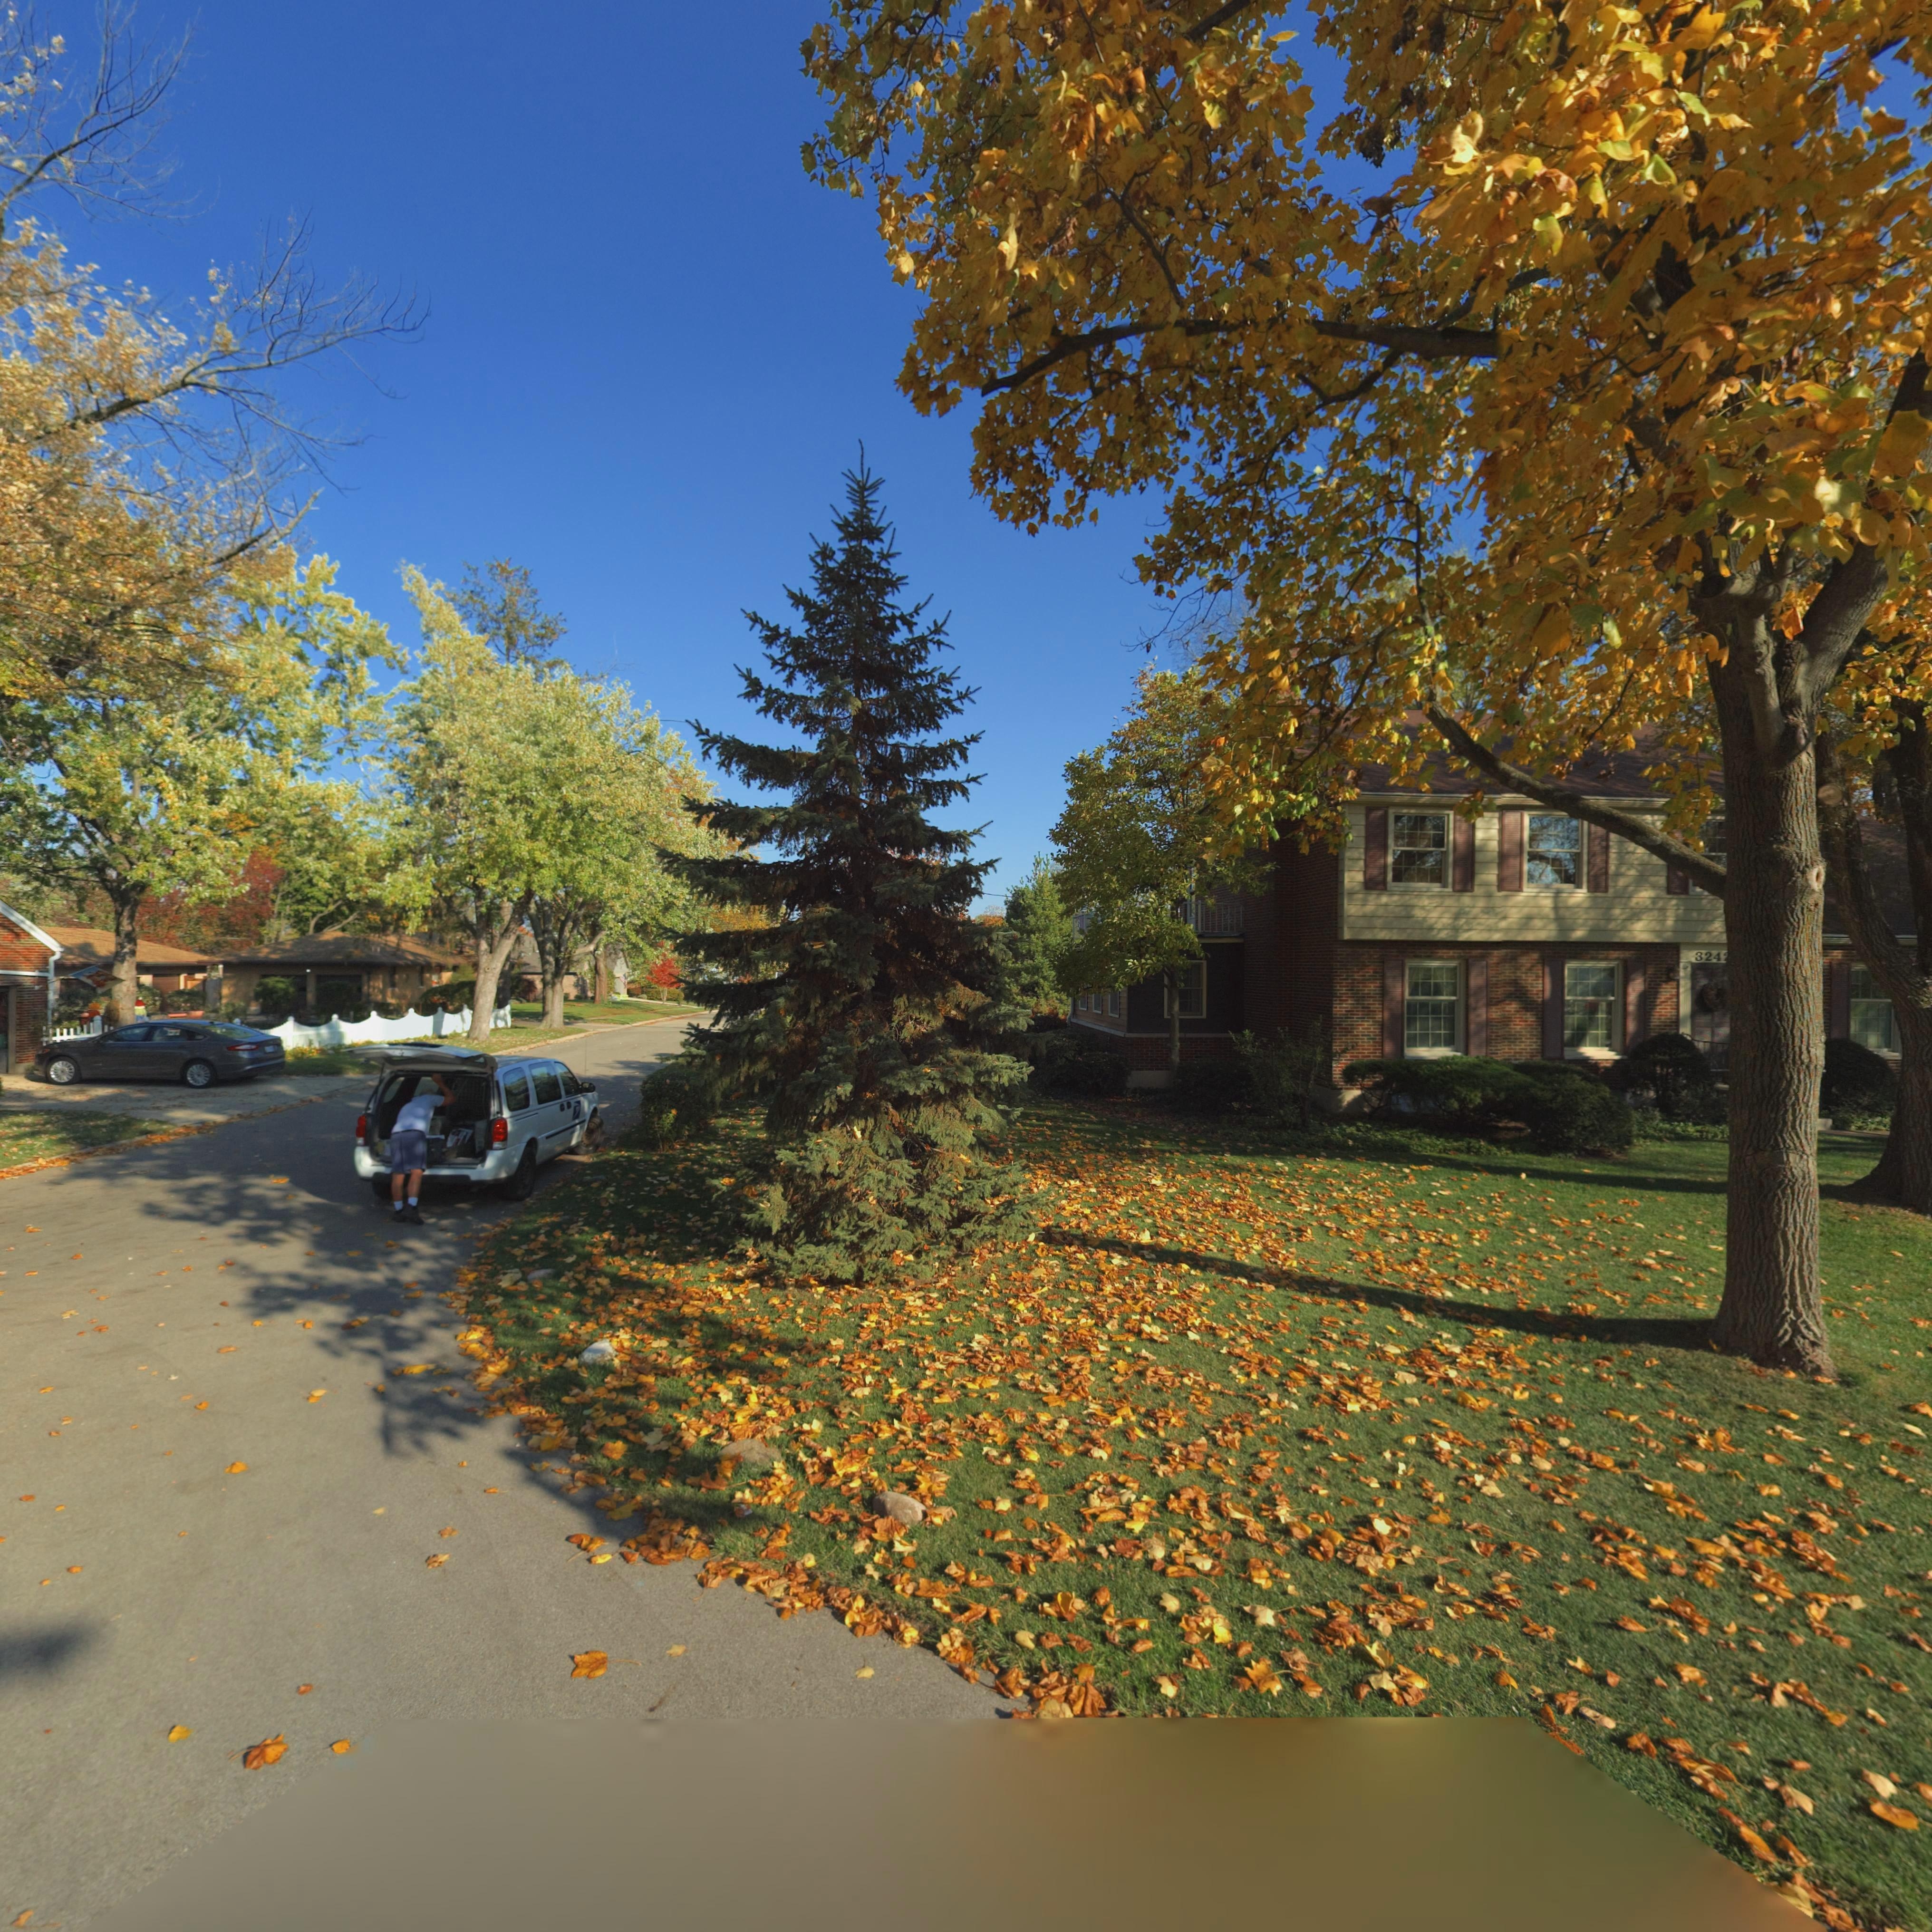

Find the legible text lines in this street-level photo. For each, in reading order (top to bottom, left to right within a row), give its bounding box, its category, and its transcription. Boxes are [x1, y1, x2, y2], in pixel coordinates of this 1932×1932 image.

[1694, 951, 1721, 961] StreetNumber: 324